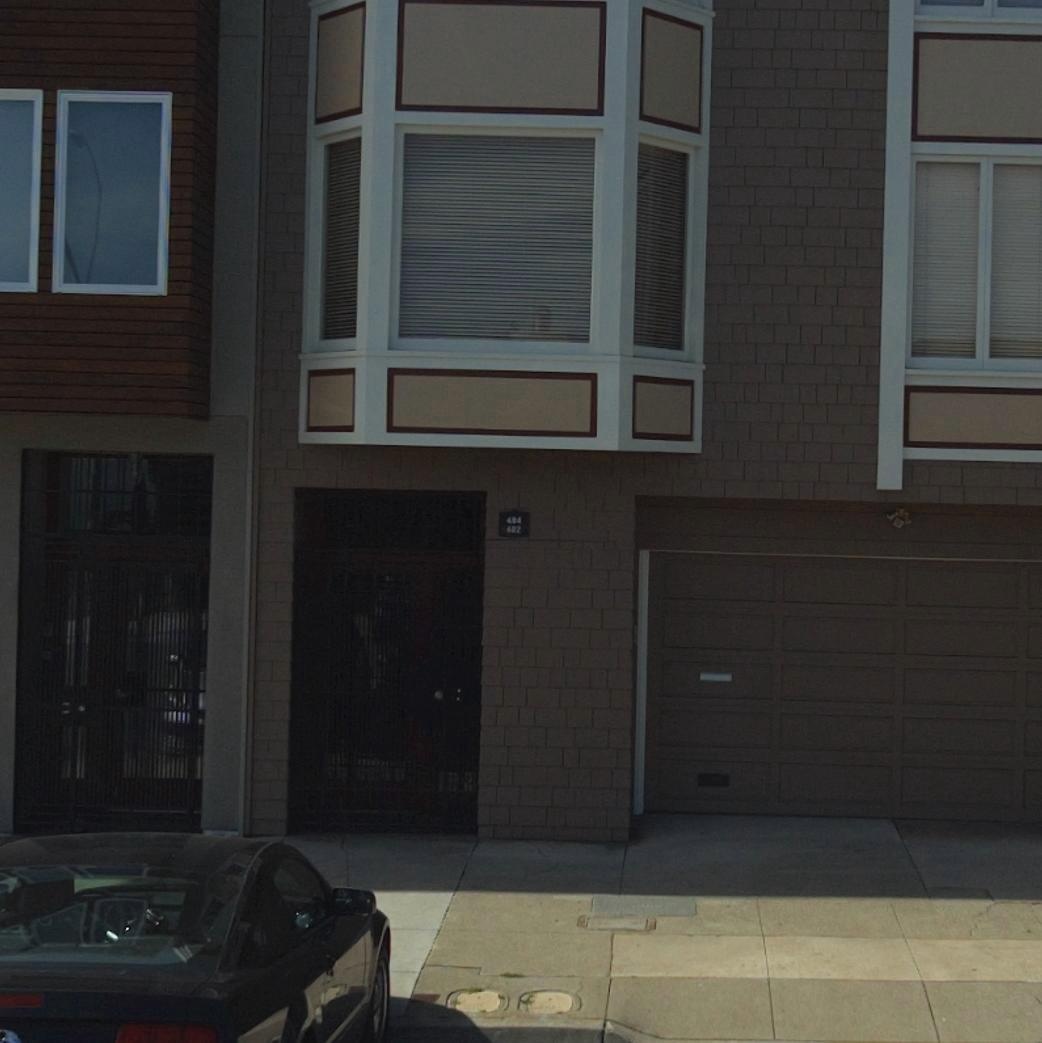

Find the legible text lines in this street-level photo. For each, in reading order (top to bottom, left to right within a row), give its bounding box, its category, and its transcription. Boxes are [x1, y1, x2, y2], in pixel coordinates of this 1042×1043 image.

[505, 516, 522, 526] StreetNumber: 4*4
[505, 524, 521, 535] StreetNumber: 4*2